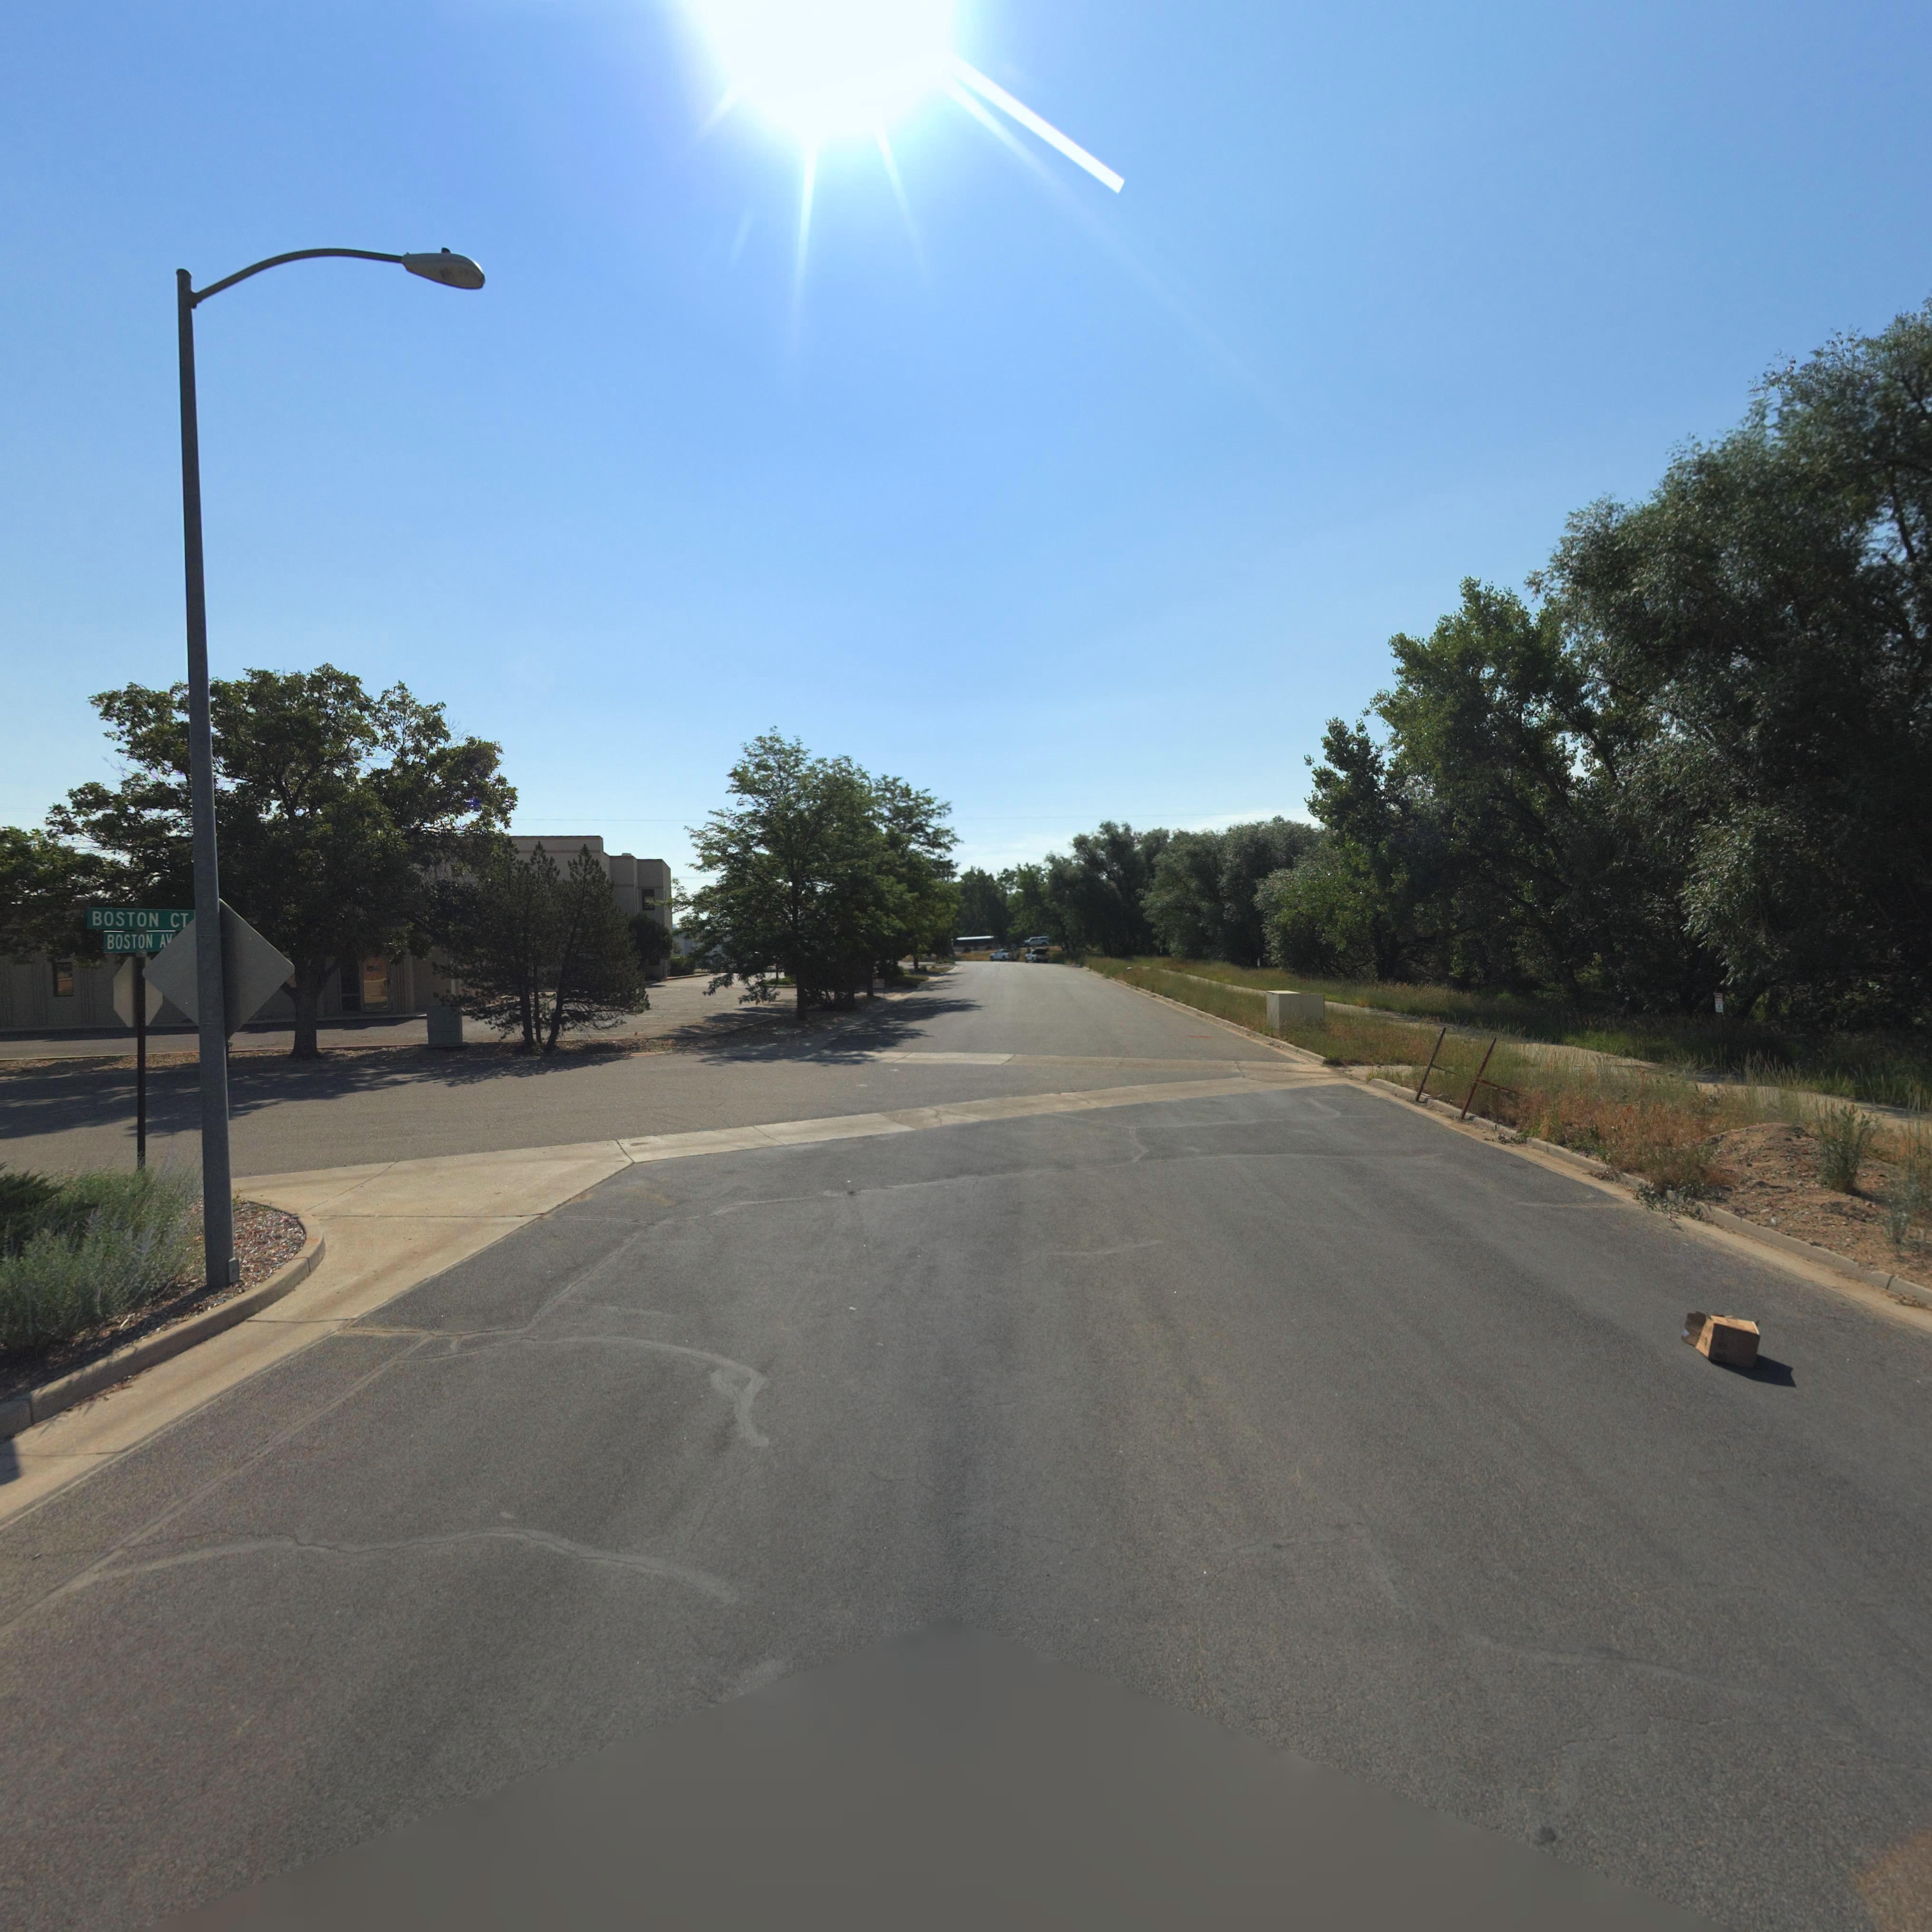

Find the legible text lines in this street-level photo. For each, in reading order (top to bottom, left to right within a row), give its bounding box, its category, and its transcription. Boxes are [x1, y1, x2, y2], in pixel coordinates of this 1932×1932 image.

[91, 911, 189, 928] StreetName: BOSTON CT
[106, 933, 173, 950] StreetName: BOSTON AV